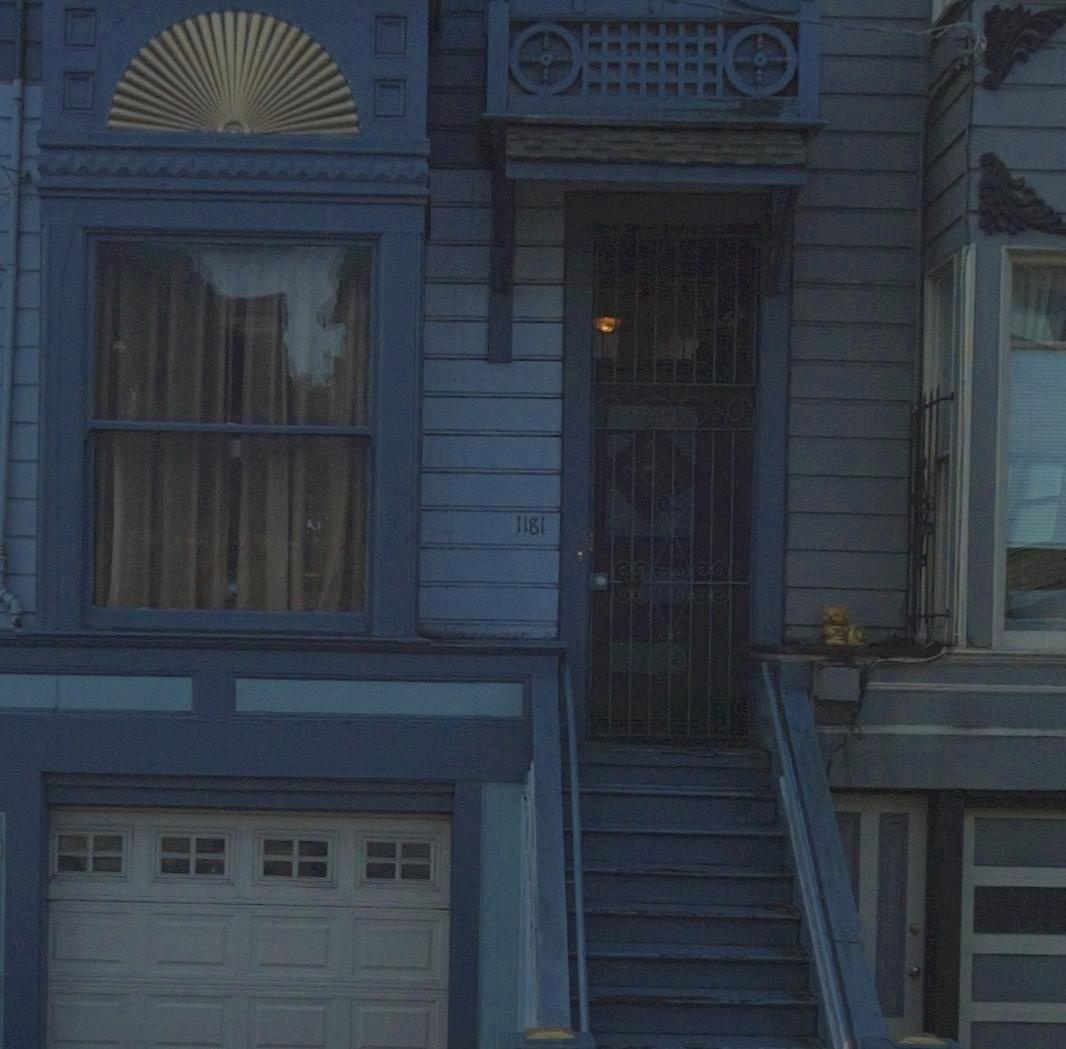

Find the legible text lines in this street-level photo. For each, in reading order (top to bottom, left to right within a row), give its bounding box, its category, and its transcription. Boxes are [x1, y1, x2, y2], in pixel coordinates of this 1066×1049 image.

[515, 514, 546, 537] StreetNumber: 1181